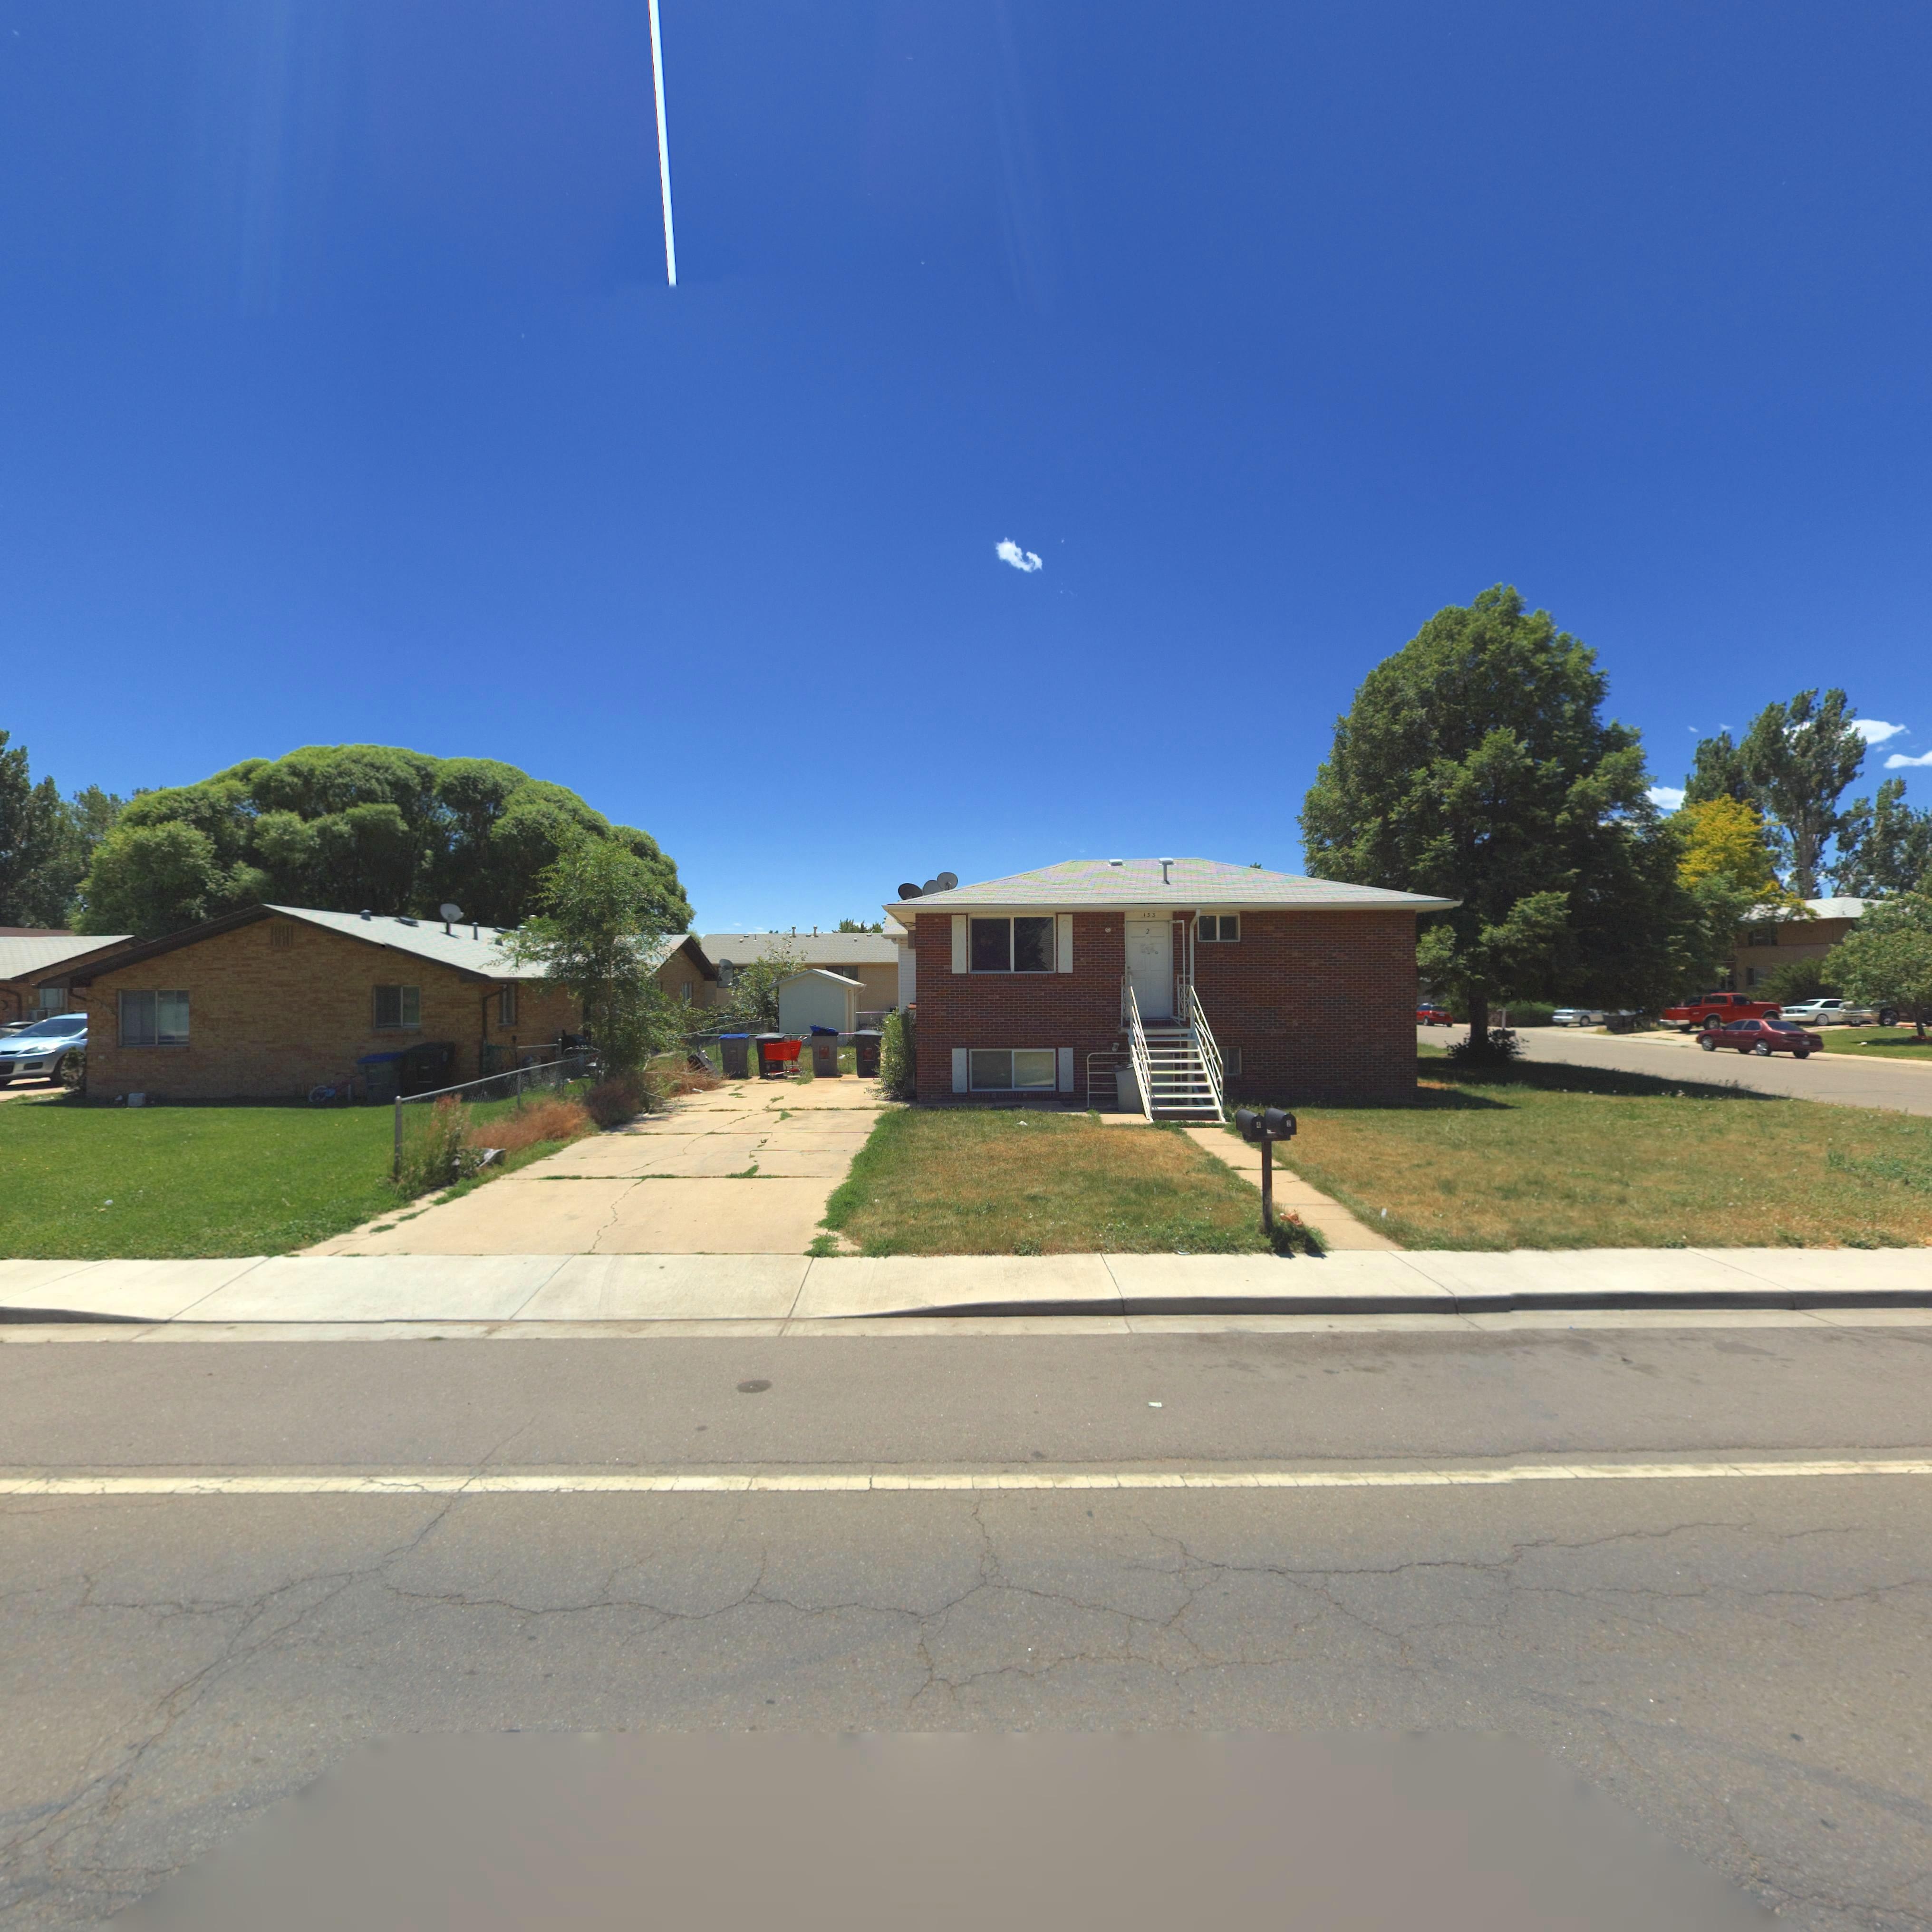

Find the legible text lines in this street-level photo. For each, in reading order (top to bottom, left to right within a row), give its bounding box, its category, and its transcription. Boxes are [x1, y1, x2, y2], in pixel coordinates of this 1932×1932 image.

[1143, 912, 1155, 918] BusinessName: 135
[1145, 927, 1150, 934] StreetNumber: 2
[1256, 1122, 1260, 1127] StreetNumber: 4
[1287, 1120, 1291, 1126] StreetNumber: 2